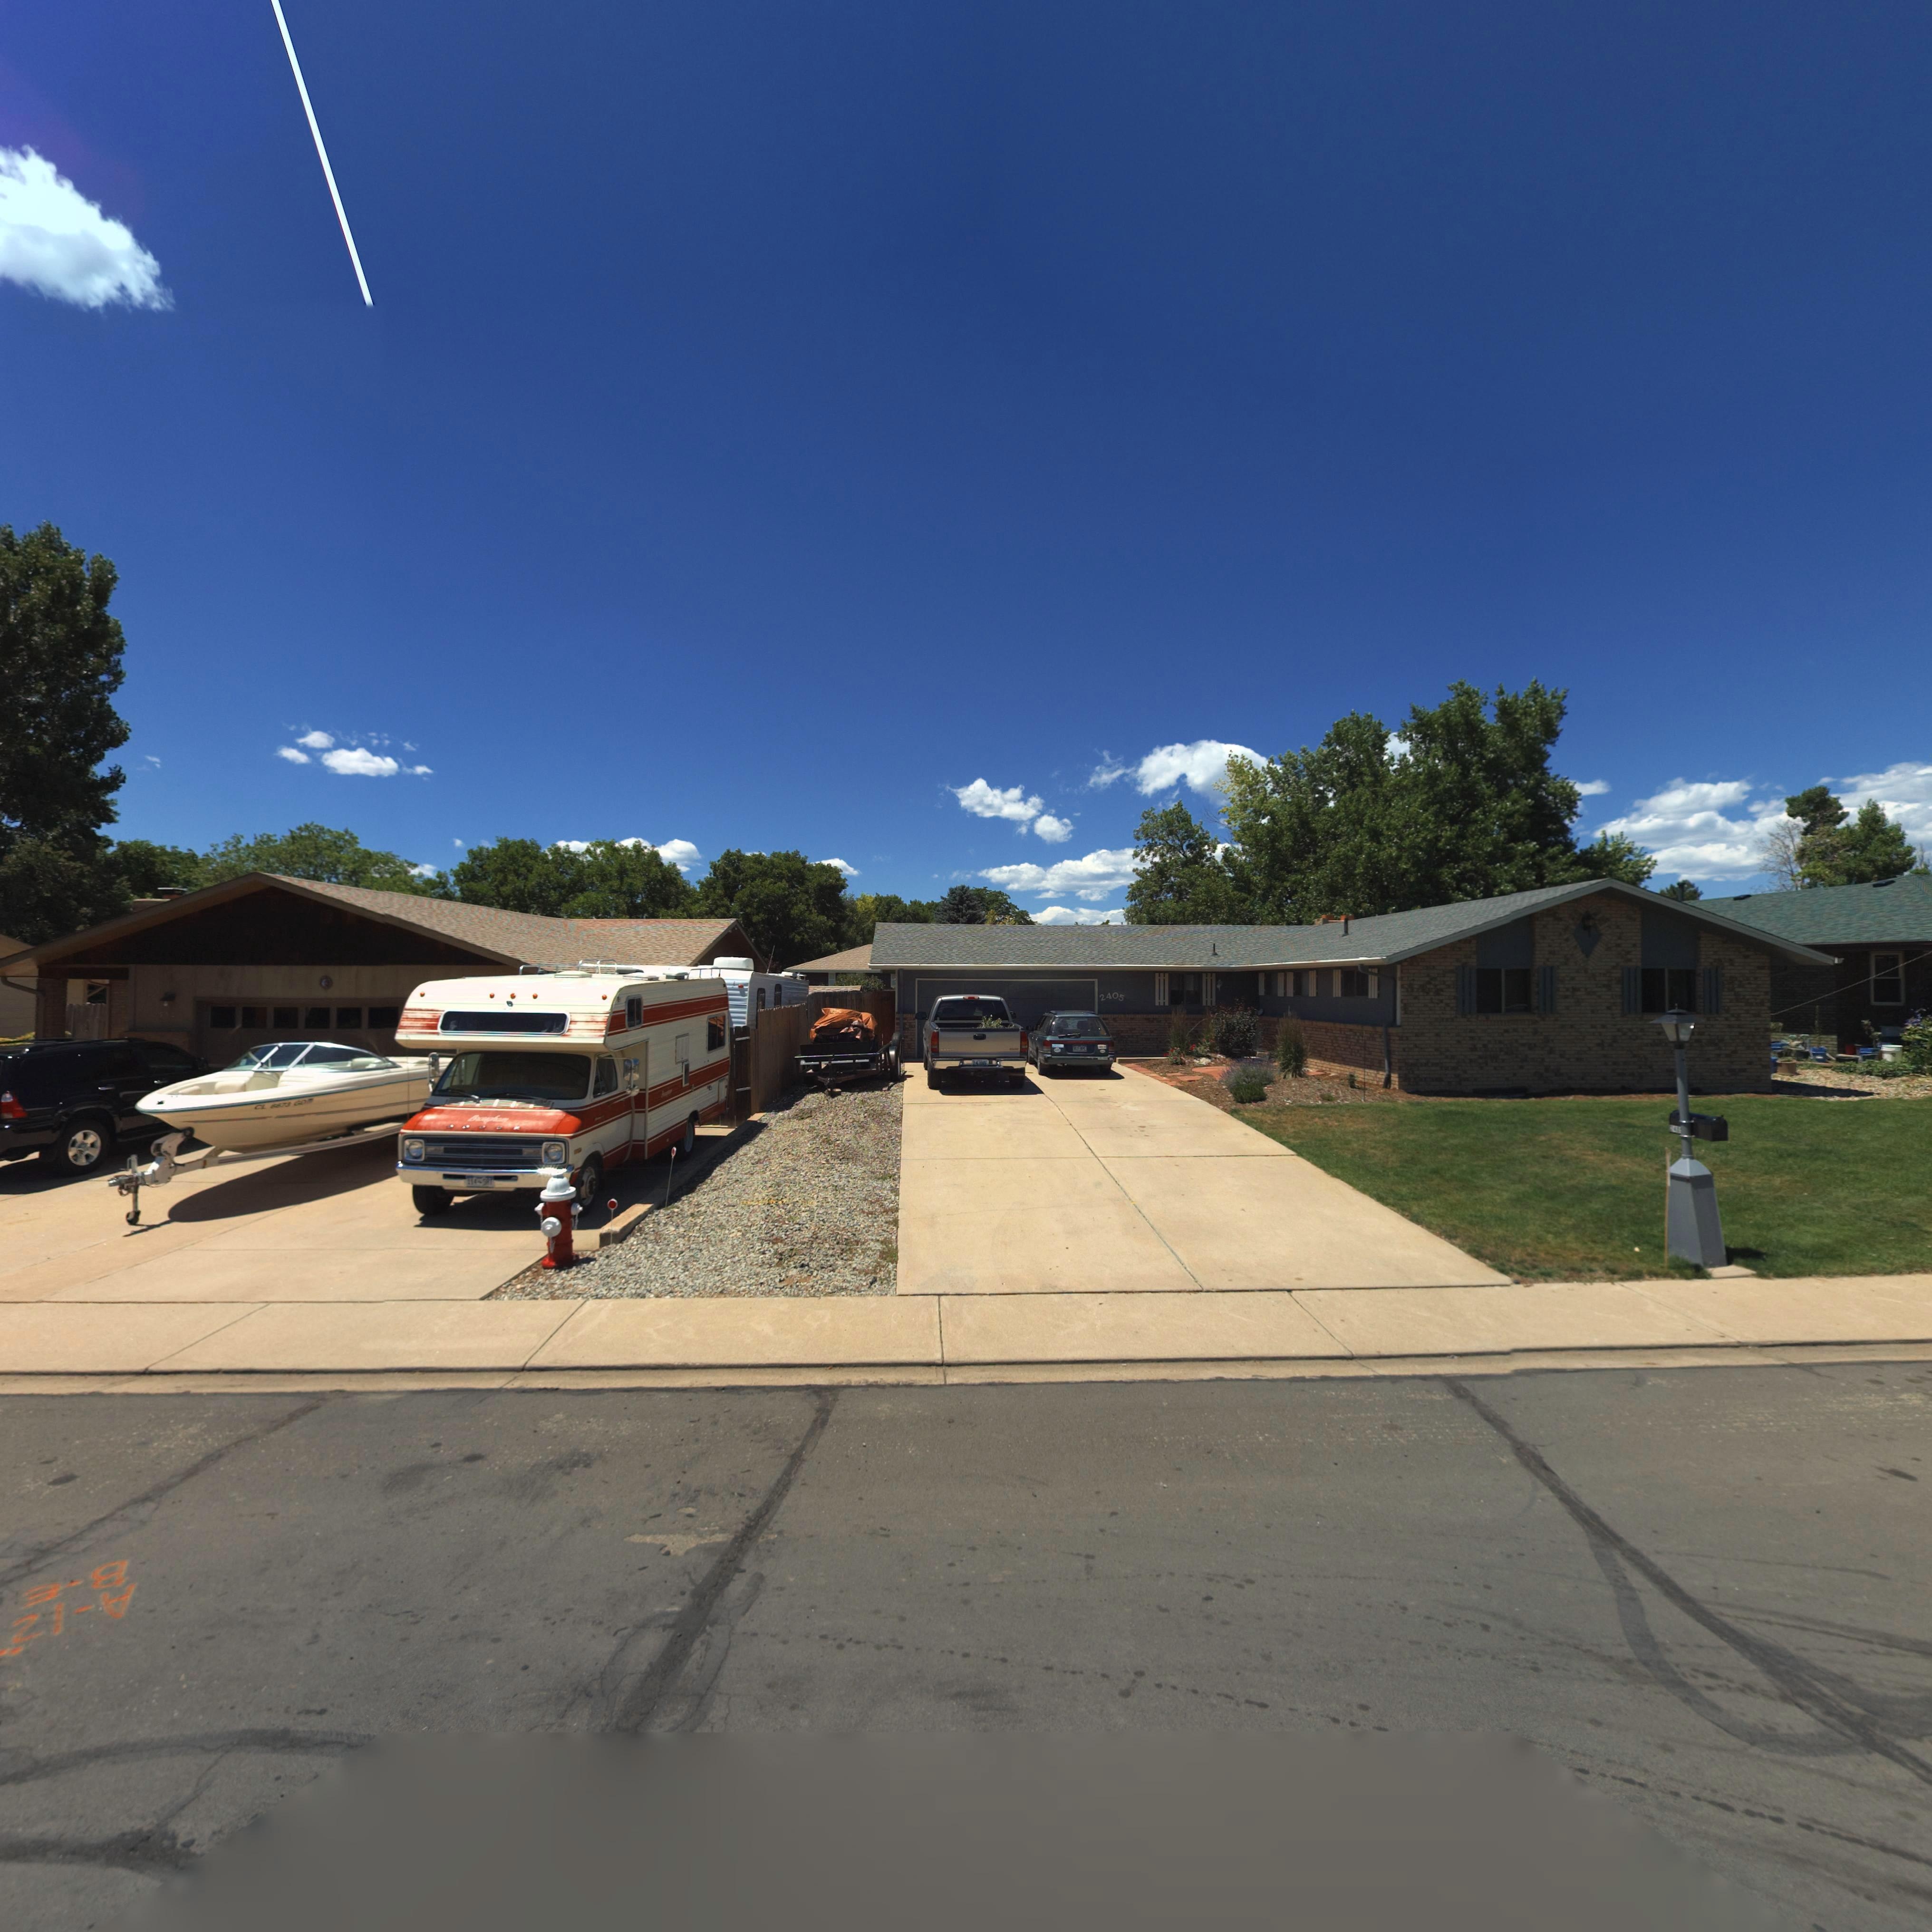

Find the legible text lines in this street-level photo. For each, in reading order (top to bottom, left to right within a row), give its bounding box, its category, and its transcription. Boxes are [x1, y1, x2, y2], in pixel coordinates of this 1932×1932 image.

[1099, 992, 1125, 1001] StreetNumber: 2405
[1669, 1125, 1681, 1134] StreetNumber: *41*